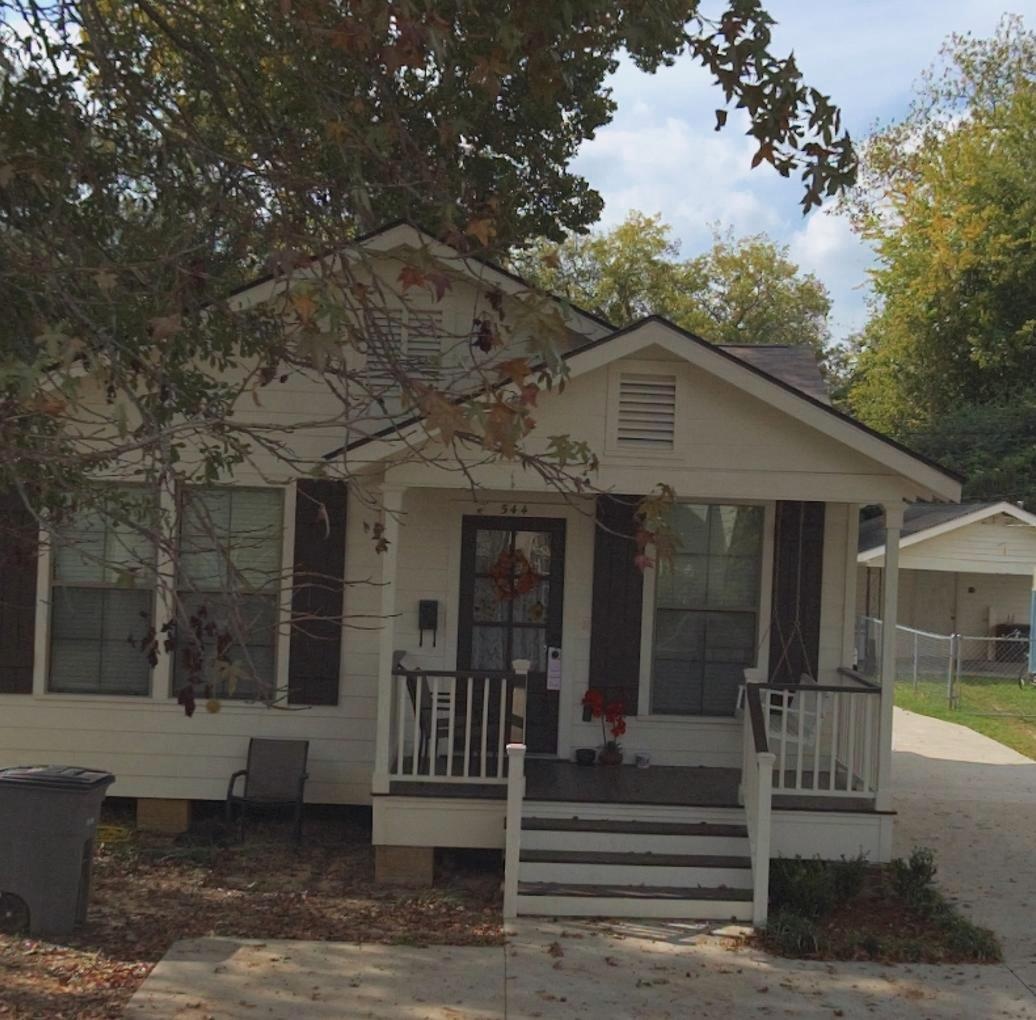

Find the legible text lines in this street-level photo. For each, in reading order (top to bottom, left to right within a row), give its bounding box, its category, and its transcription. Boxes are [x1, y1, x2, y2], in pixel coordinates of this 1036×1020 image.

[499, 502, 529, 516] StreetNumber: 544